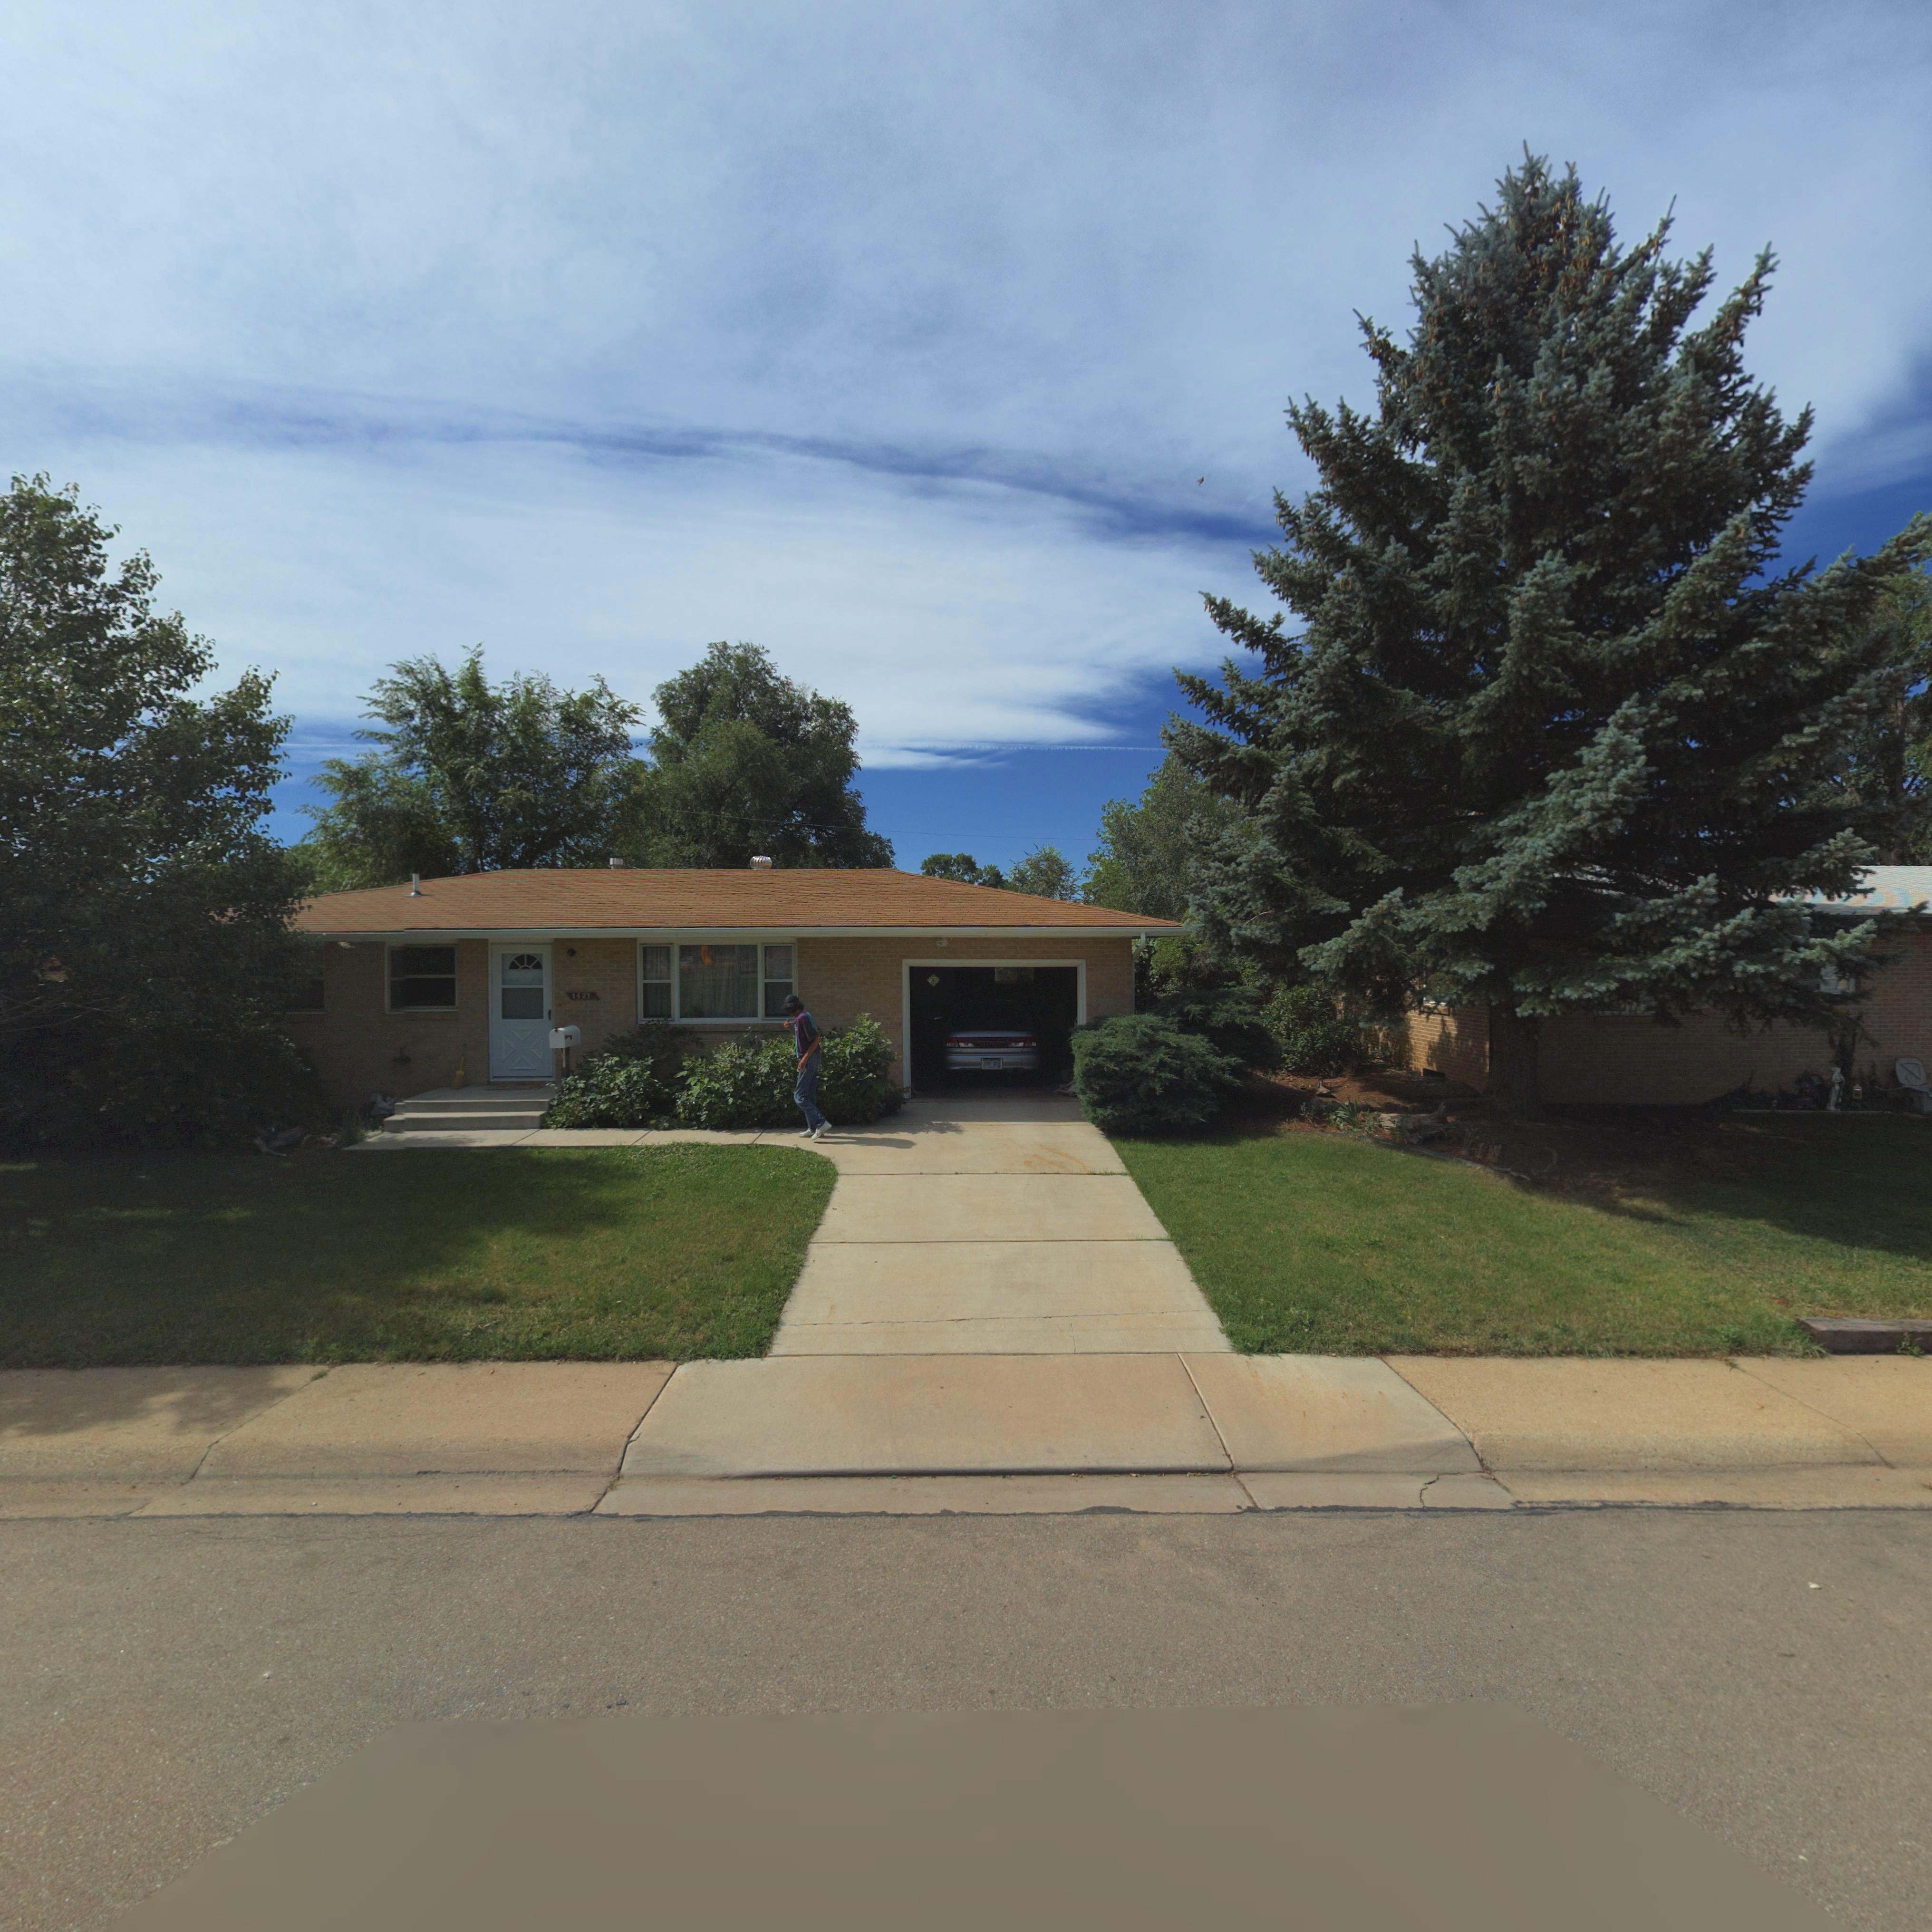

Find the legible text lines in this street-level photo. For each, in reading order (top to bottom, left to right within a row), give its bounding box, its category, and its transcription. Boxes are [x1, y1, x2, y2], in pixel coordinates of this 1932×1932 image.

[572, 992, 590, 999] StreetNumber: 1427